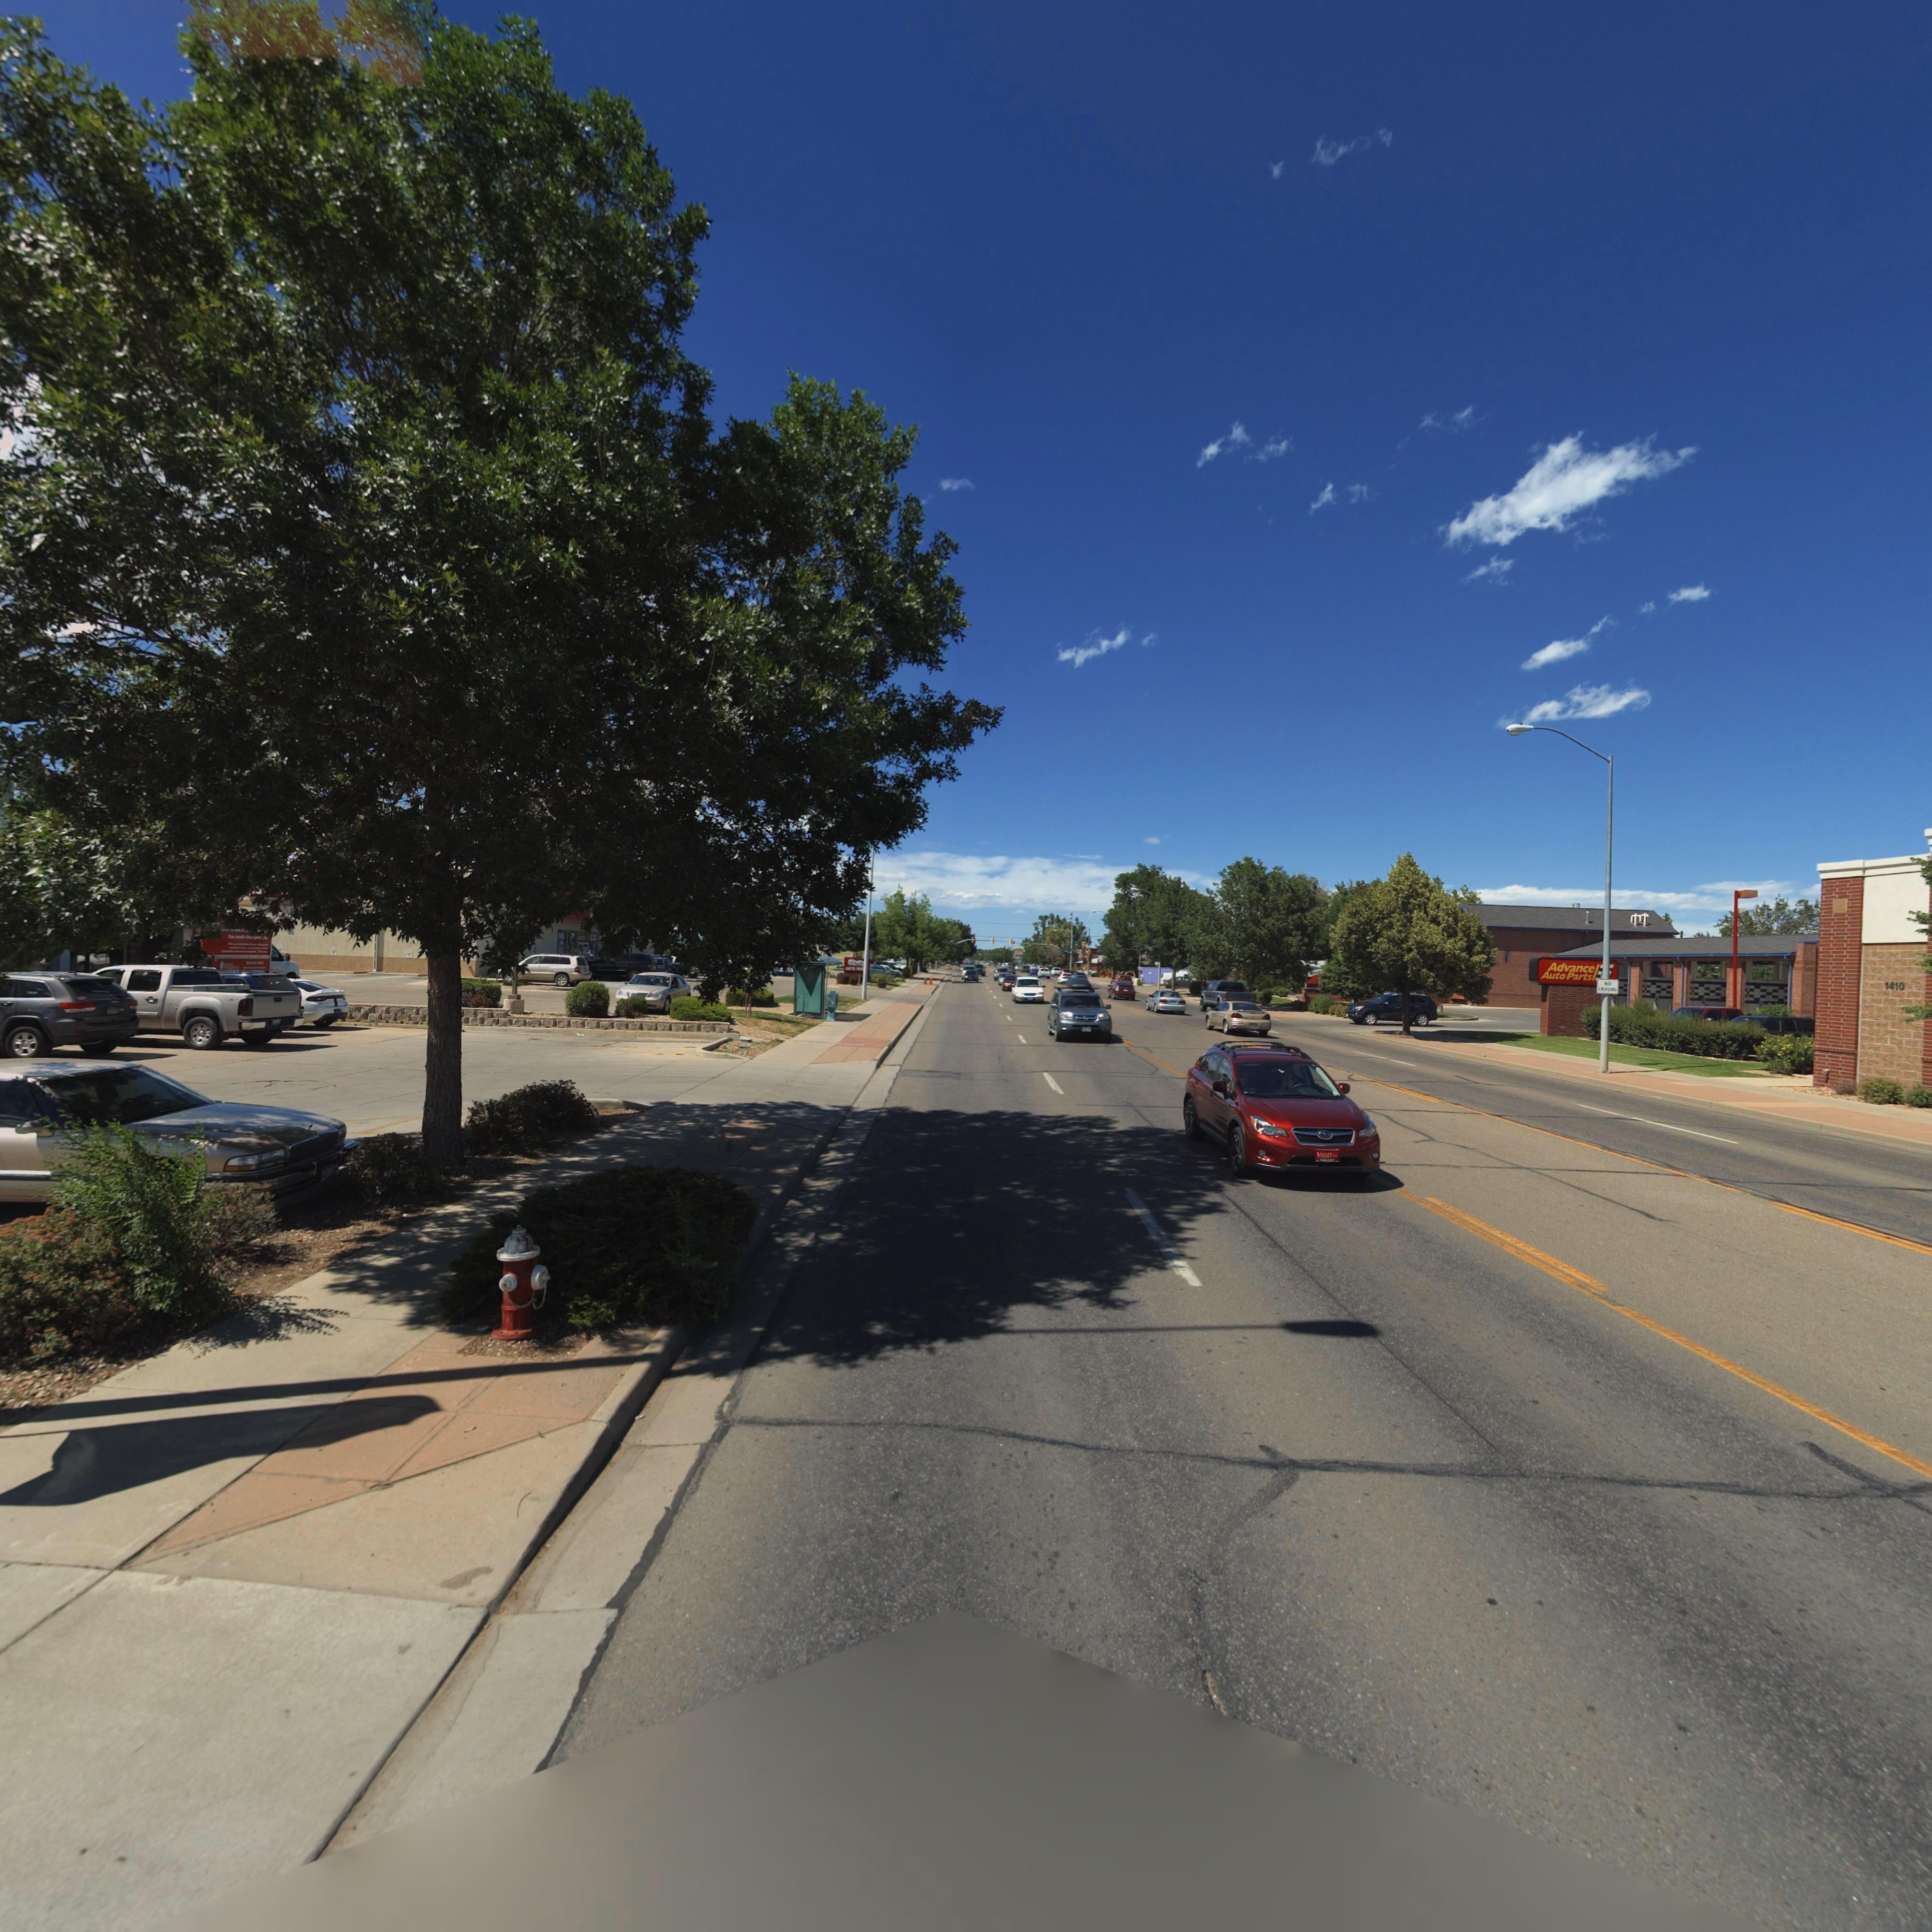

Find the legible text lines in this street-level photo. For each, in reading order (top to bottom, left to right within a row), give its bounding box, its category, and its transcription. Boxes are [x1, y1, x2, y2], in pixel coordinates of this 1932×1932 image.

[1547, 962, 1595, 972] BusinessName: Advance
[1540, 971, 1593, 980] BusinessName: Auto Parts
[1884, 981, 1904, 990] StreetNumber: 1410